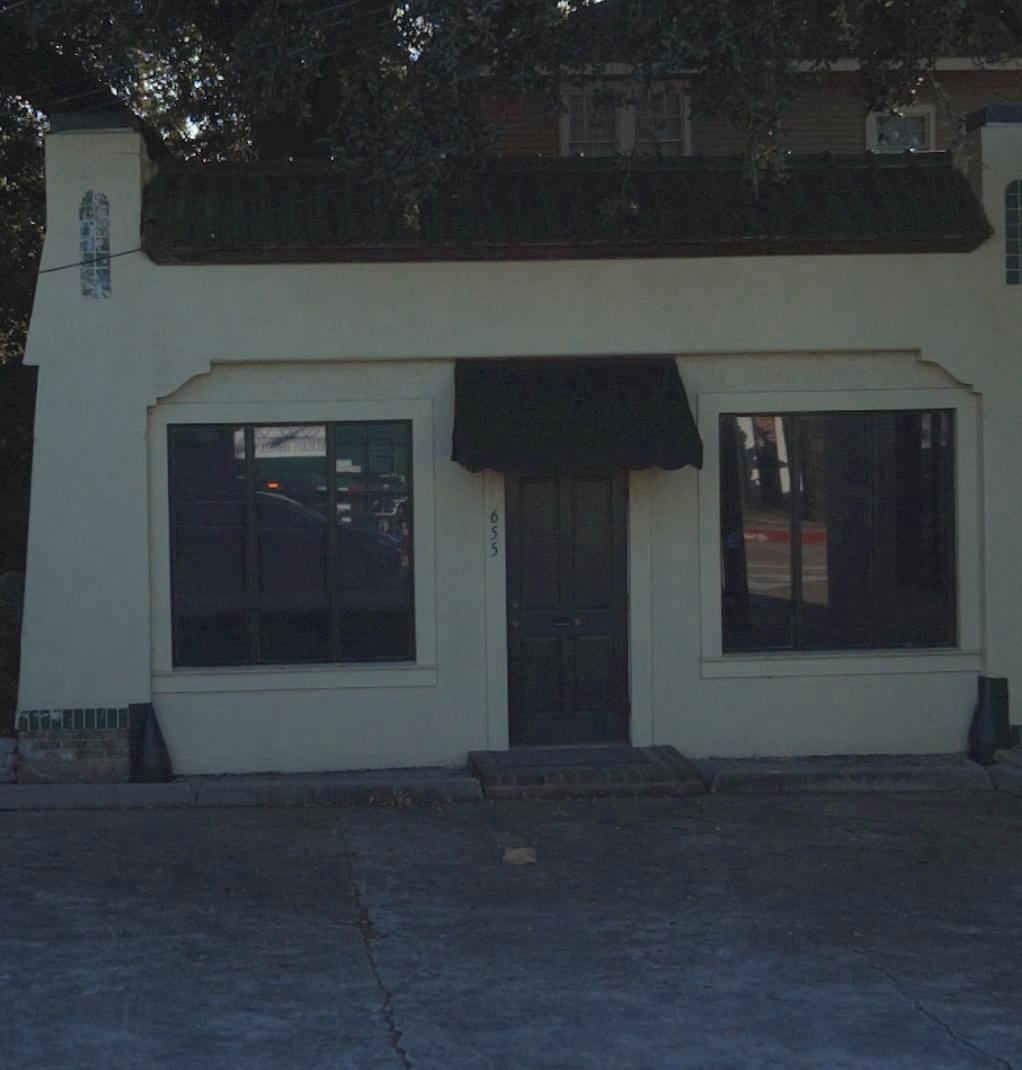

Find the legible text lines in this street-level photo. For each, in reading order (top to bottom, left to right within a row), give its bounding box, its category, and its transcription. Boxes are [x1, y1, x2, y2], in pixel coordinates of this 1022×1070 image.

[488, 504, 501, 560] StreetNumber: 655